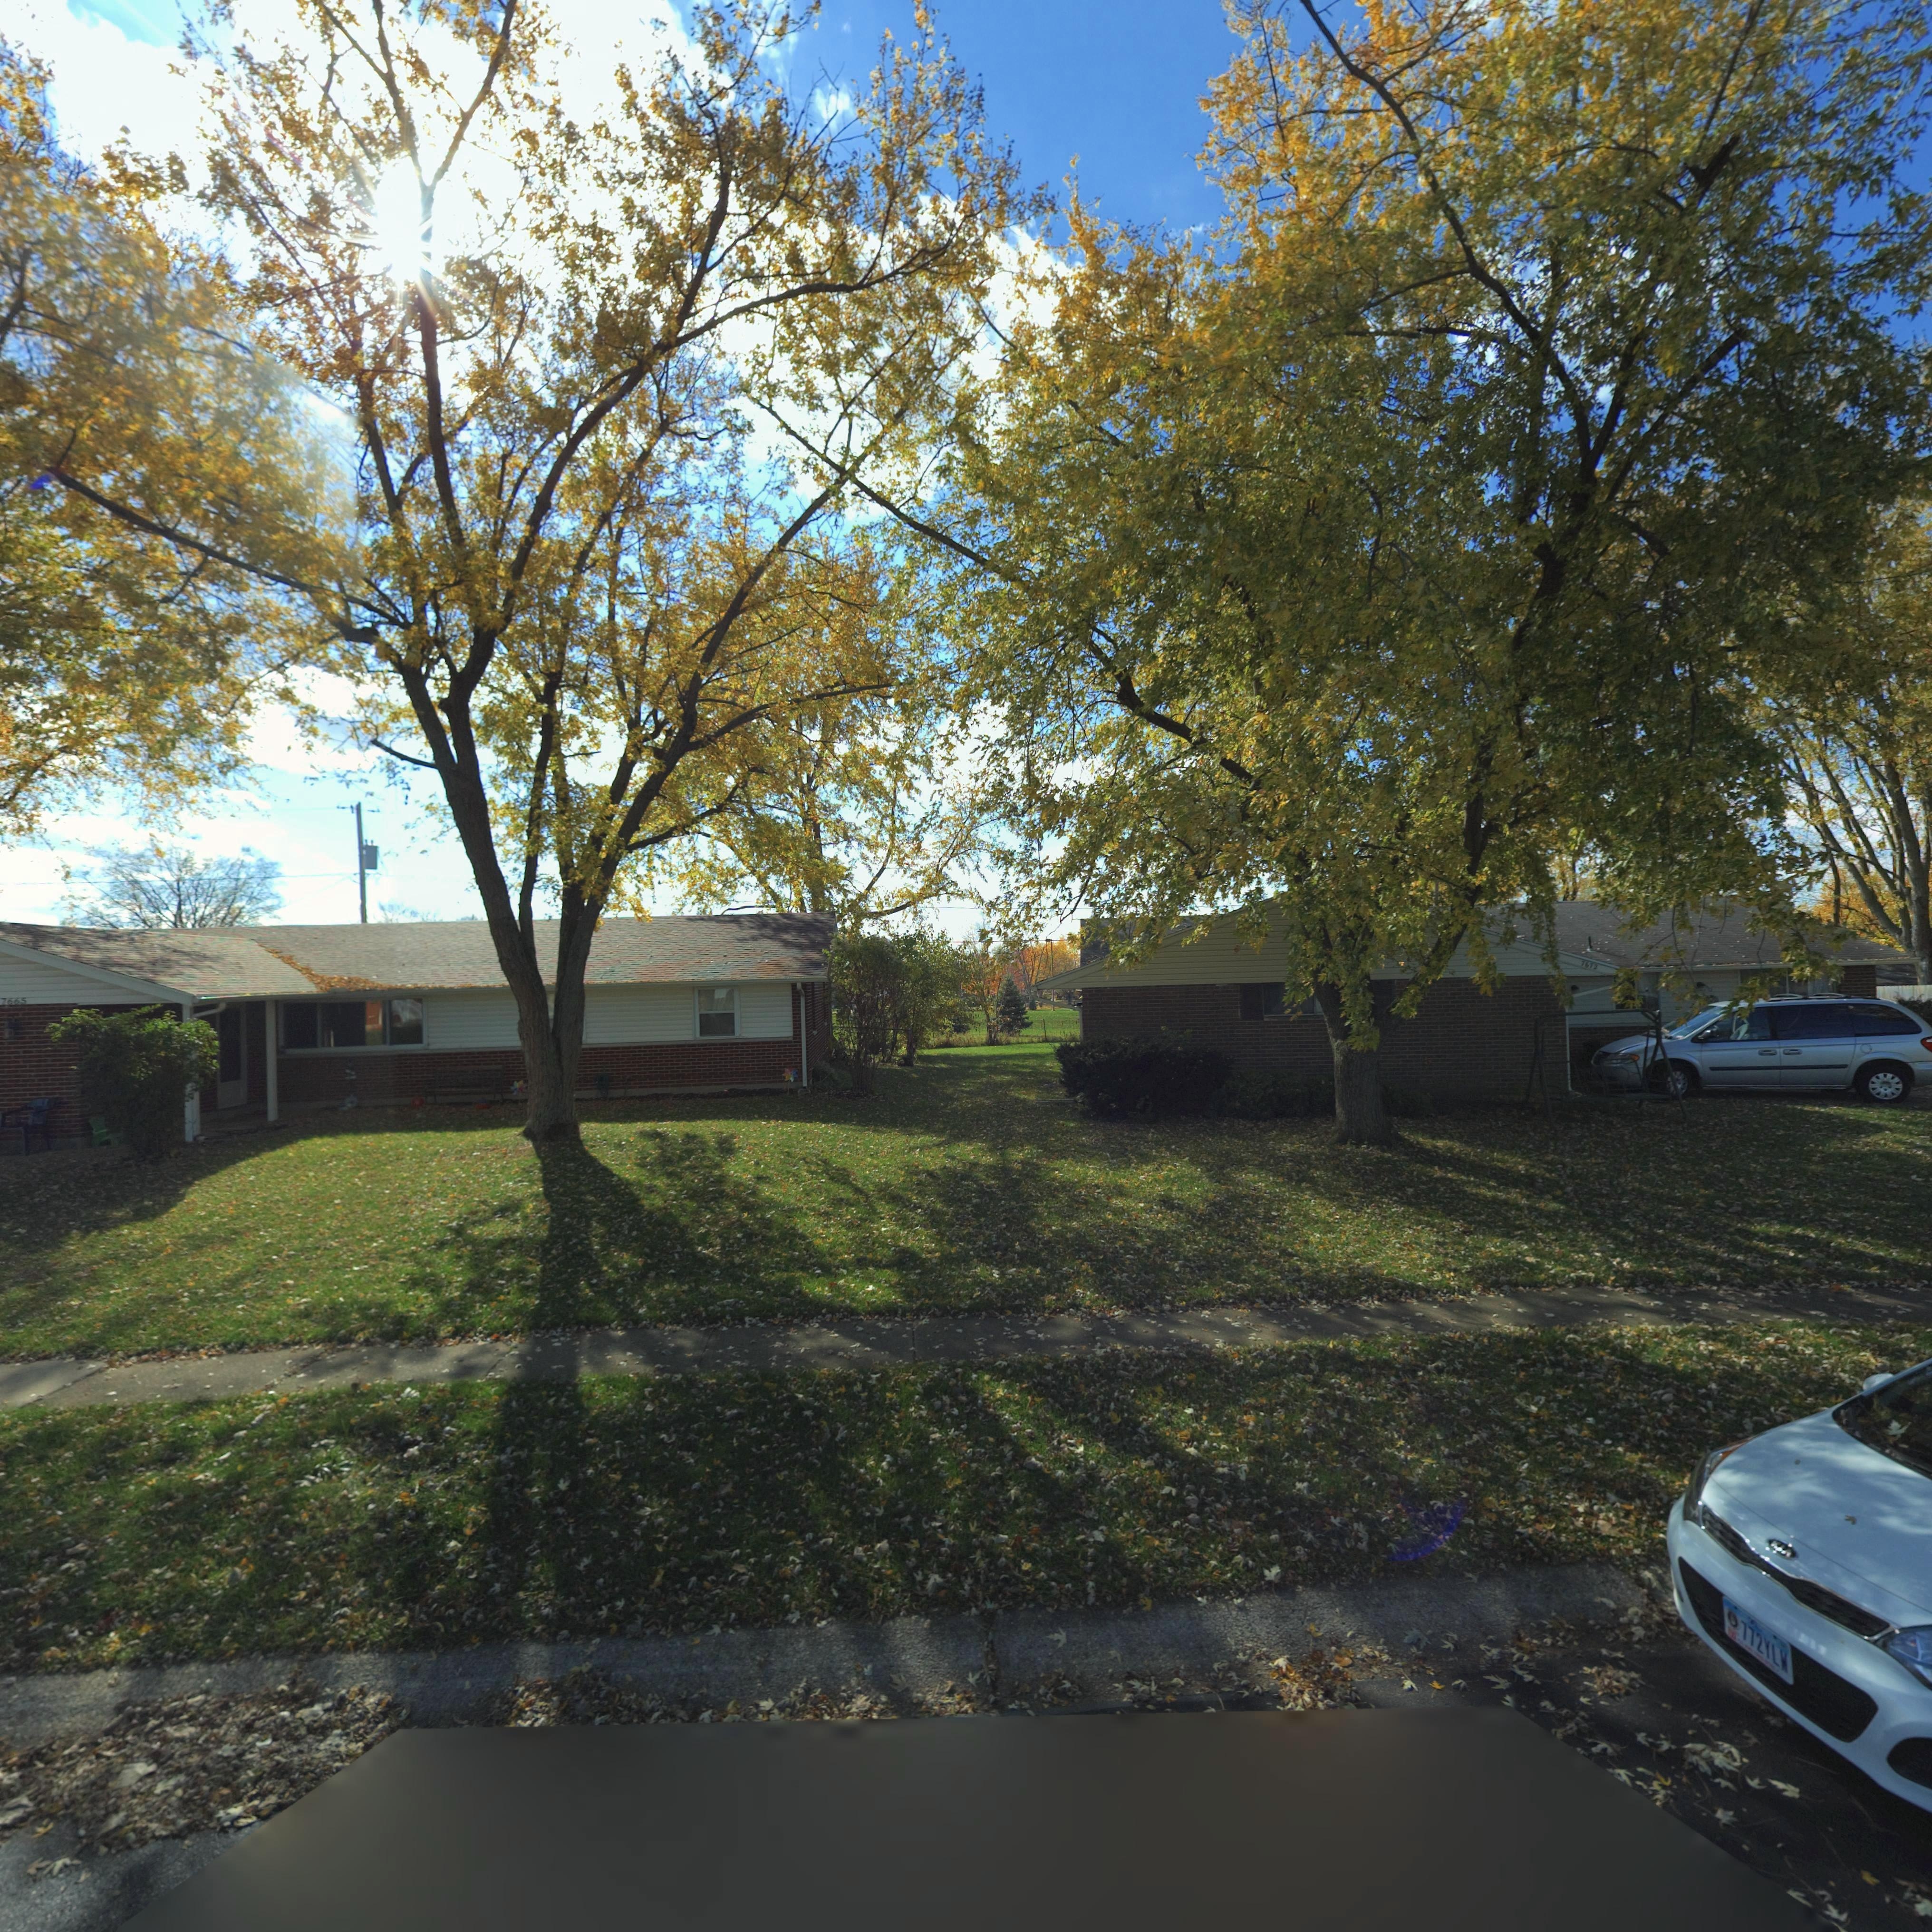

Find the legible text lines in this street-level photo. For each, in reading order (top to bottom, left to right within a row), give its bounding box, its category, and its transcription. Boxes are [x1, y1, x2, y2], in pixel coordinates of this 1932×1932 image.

[1581, 960, 1599, 970] StreetNumber: 7672
[0, 997, 27, 1005] StreetNumber: 7665